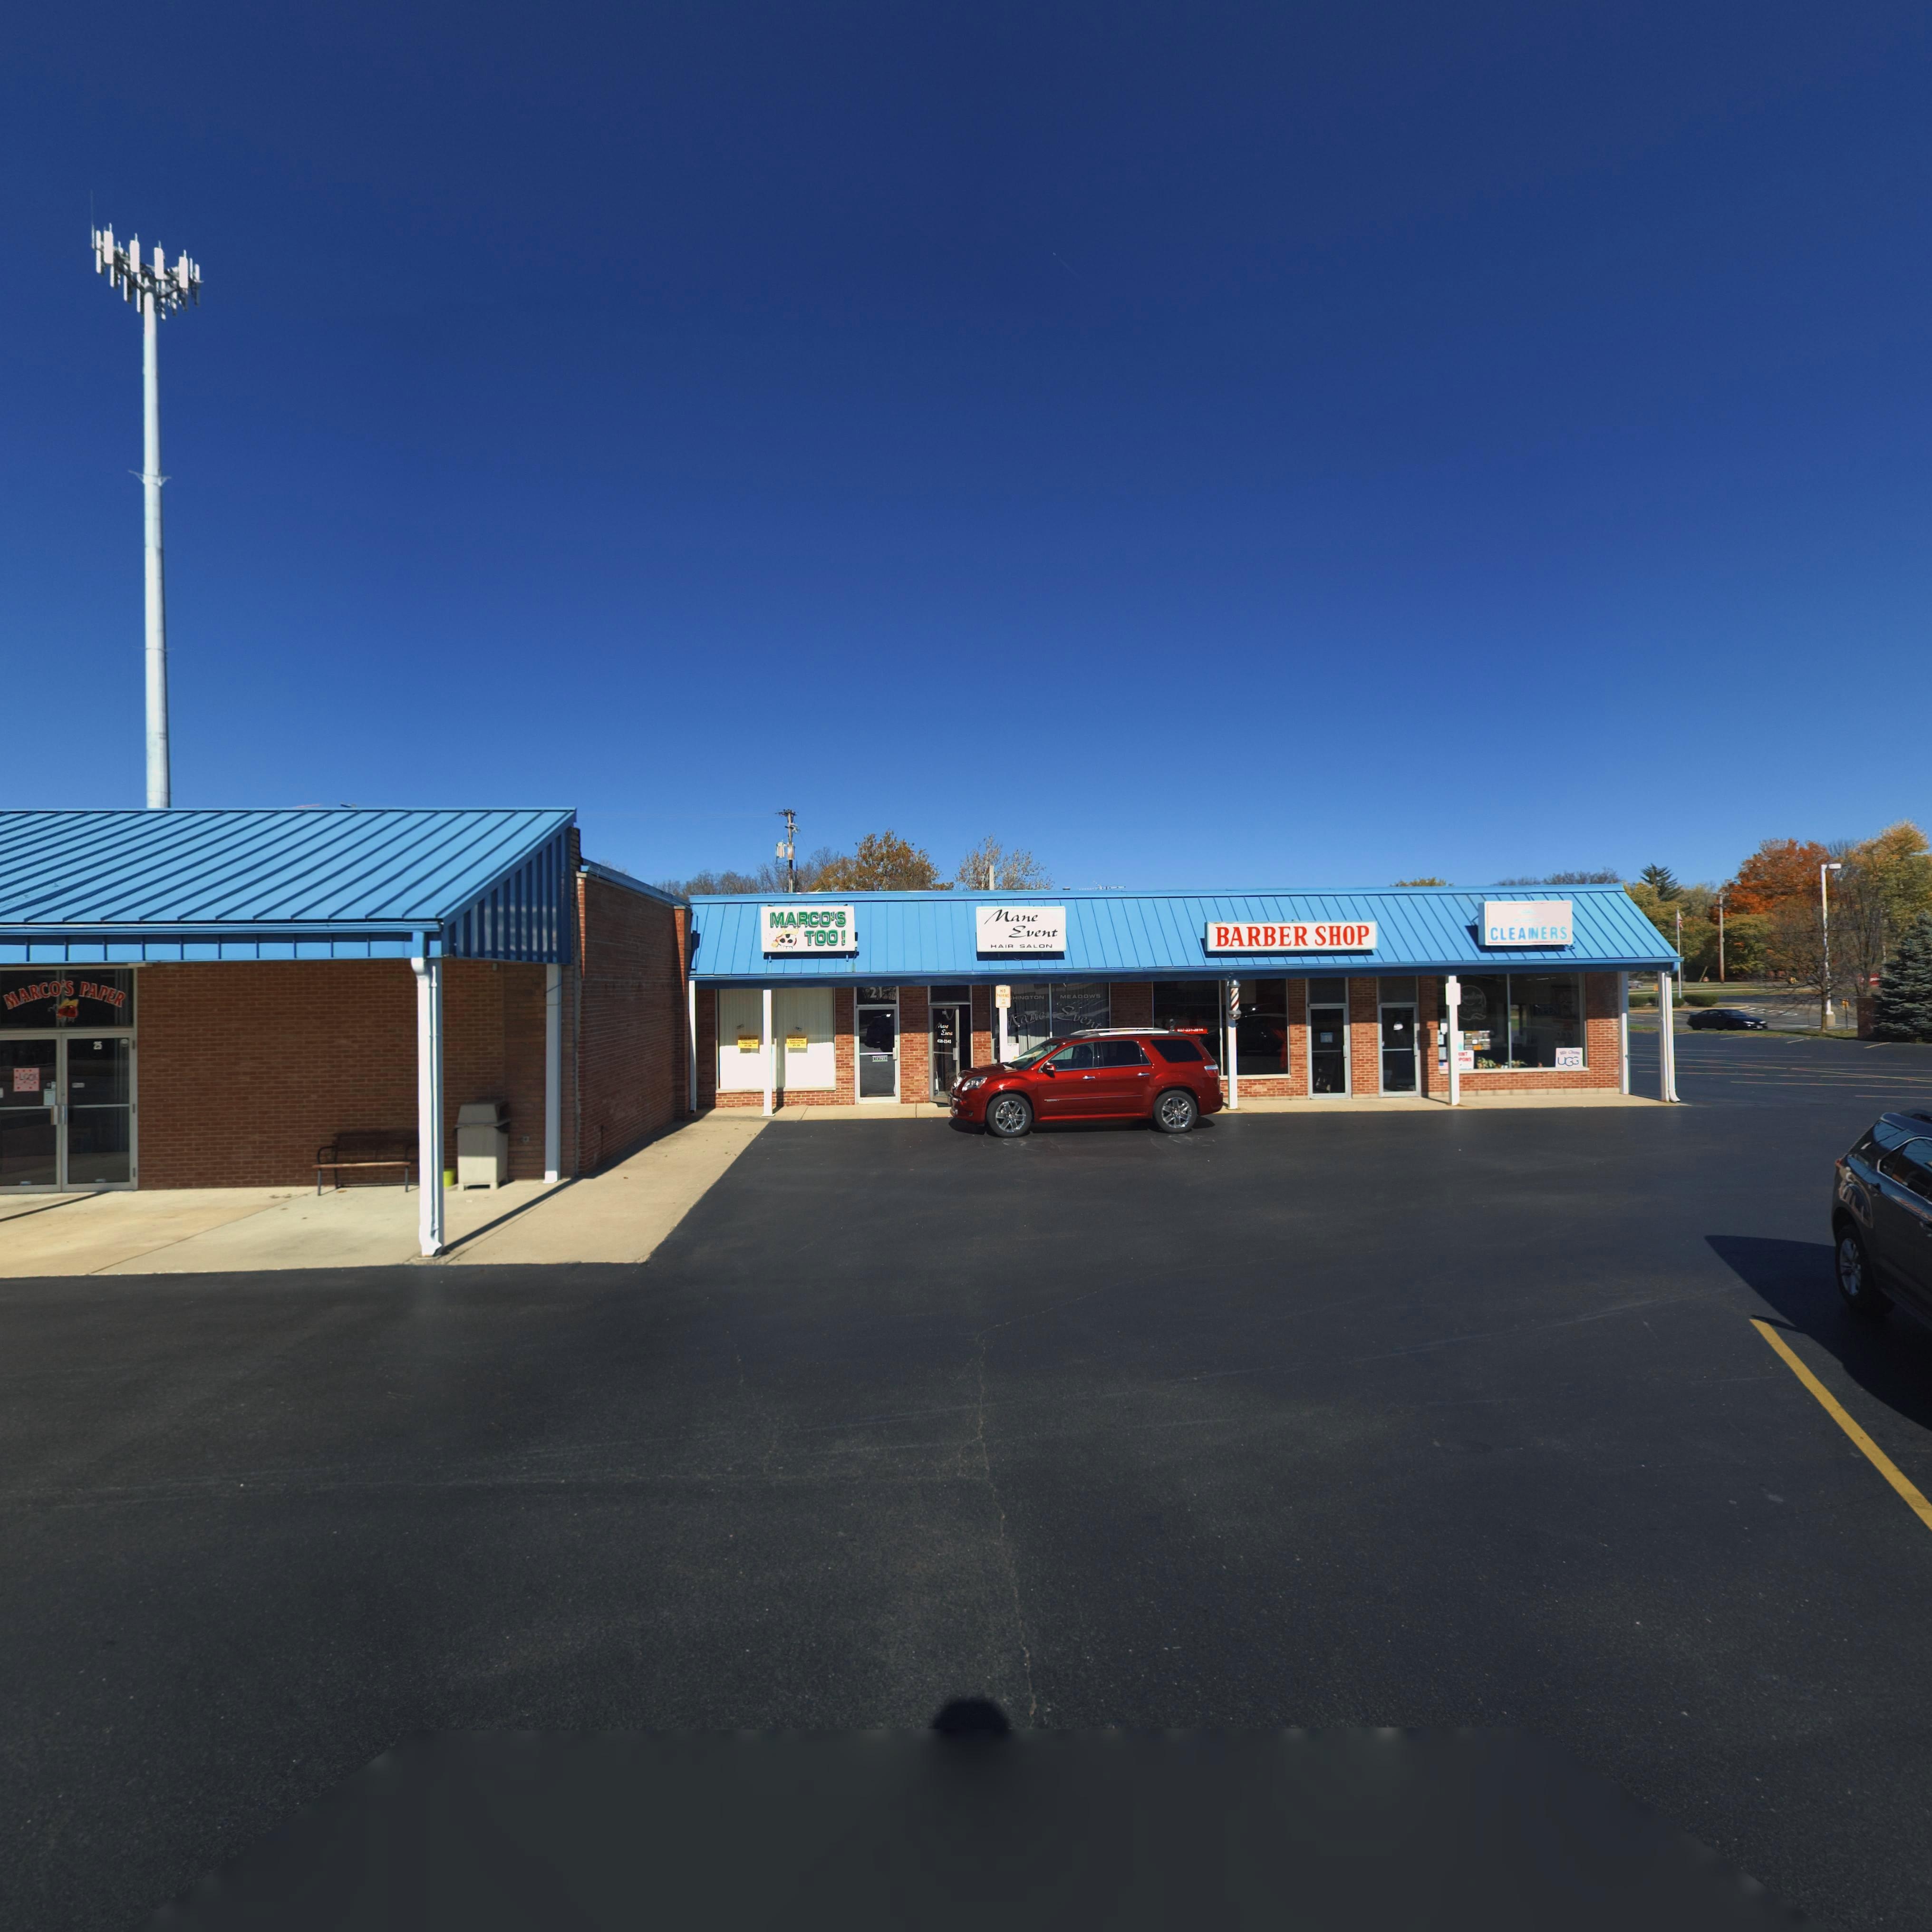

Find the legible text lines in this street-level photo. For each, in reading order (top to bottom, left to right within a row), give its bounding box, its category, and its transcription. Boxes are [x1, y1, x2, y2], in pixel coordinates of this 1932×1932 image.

[769, 910, 847, 928] BusinessName: MARCO'S
[982, 908, 1039, 925] BusinessName: Mane
[804, 929, 847, 947] BusinessName: TOO!
[1007, 924, 1059, 939] BusinessName: Event
[1214, 925, 1370, 947] BusinessName: BARBER SHOP
[1489, 926, 1568, 941] BusinessName: CLEA*NERS
[990, 943, 1053, 949] None: HAIR SALON
[1, 978, 127, 1011] BusinessName: MARCO'S PAPER
[869, 986, 883, 999] StreetNumber: 21
[999, 988, 1006, 994] None: NO
[1012, 993, 1101, 1001] None: HINGTON MEADOWS
[941, 1010, 947, 1015] StreetNumber: 19
[1020, 1005, 1103, 1030] BusinessName: ane Event
[934, 1021, 943, 1029] BusinessName: M
[940, 1028, 947, 1036] BusinessName: E
[93, 1041, 103, 1050] StreetNumber: 25
[871, 1056, 888, 1061] None: C*OS*D
[1556, 1056, 1580, 1067] None: UGG